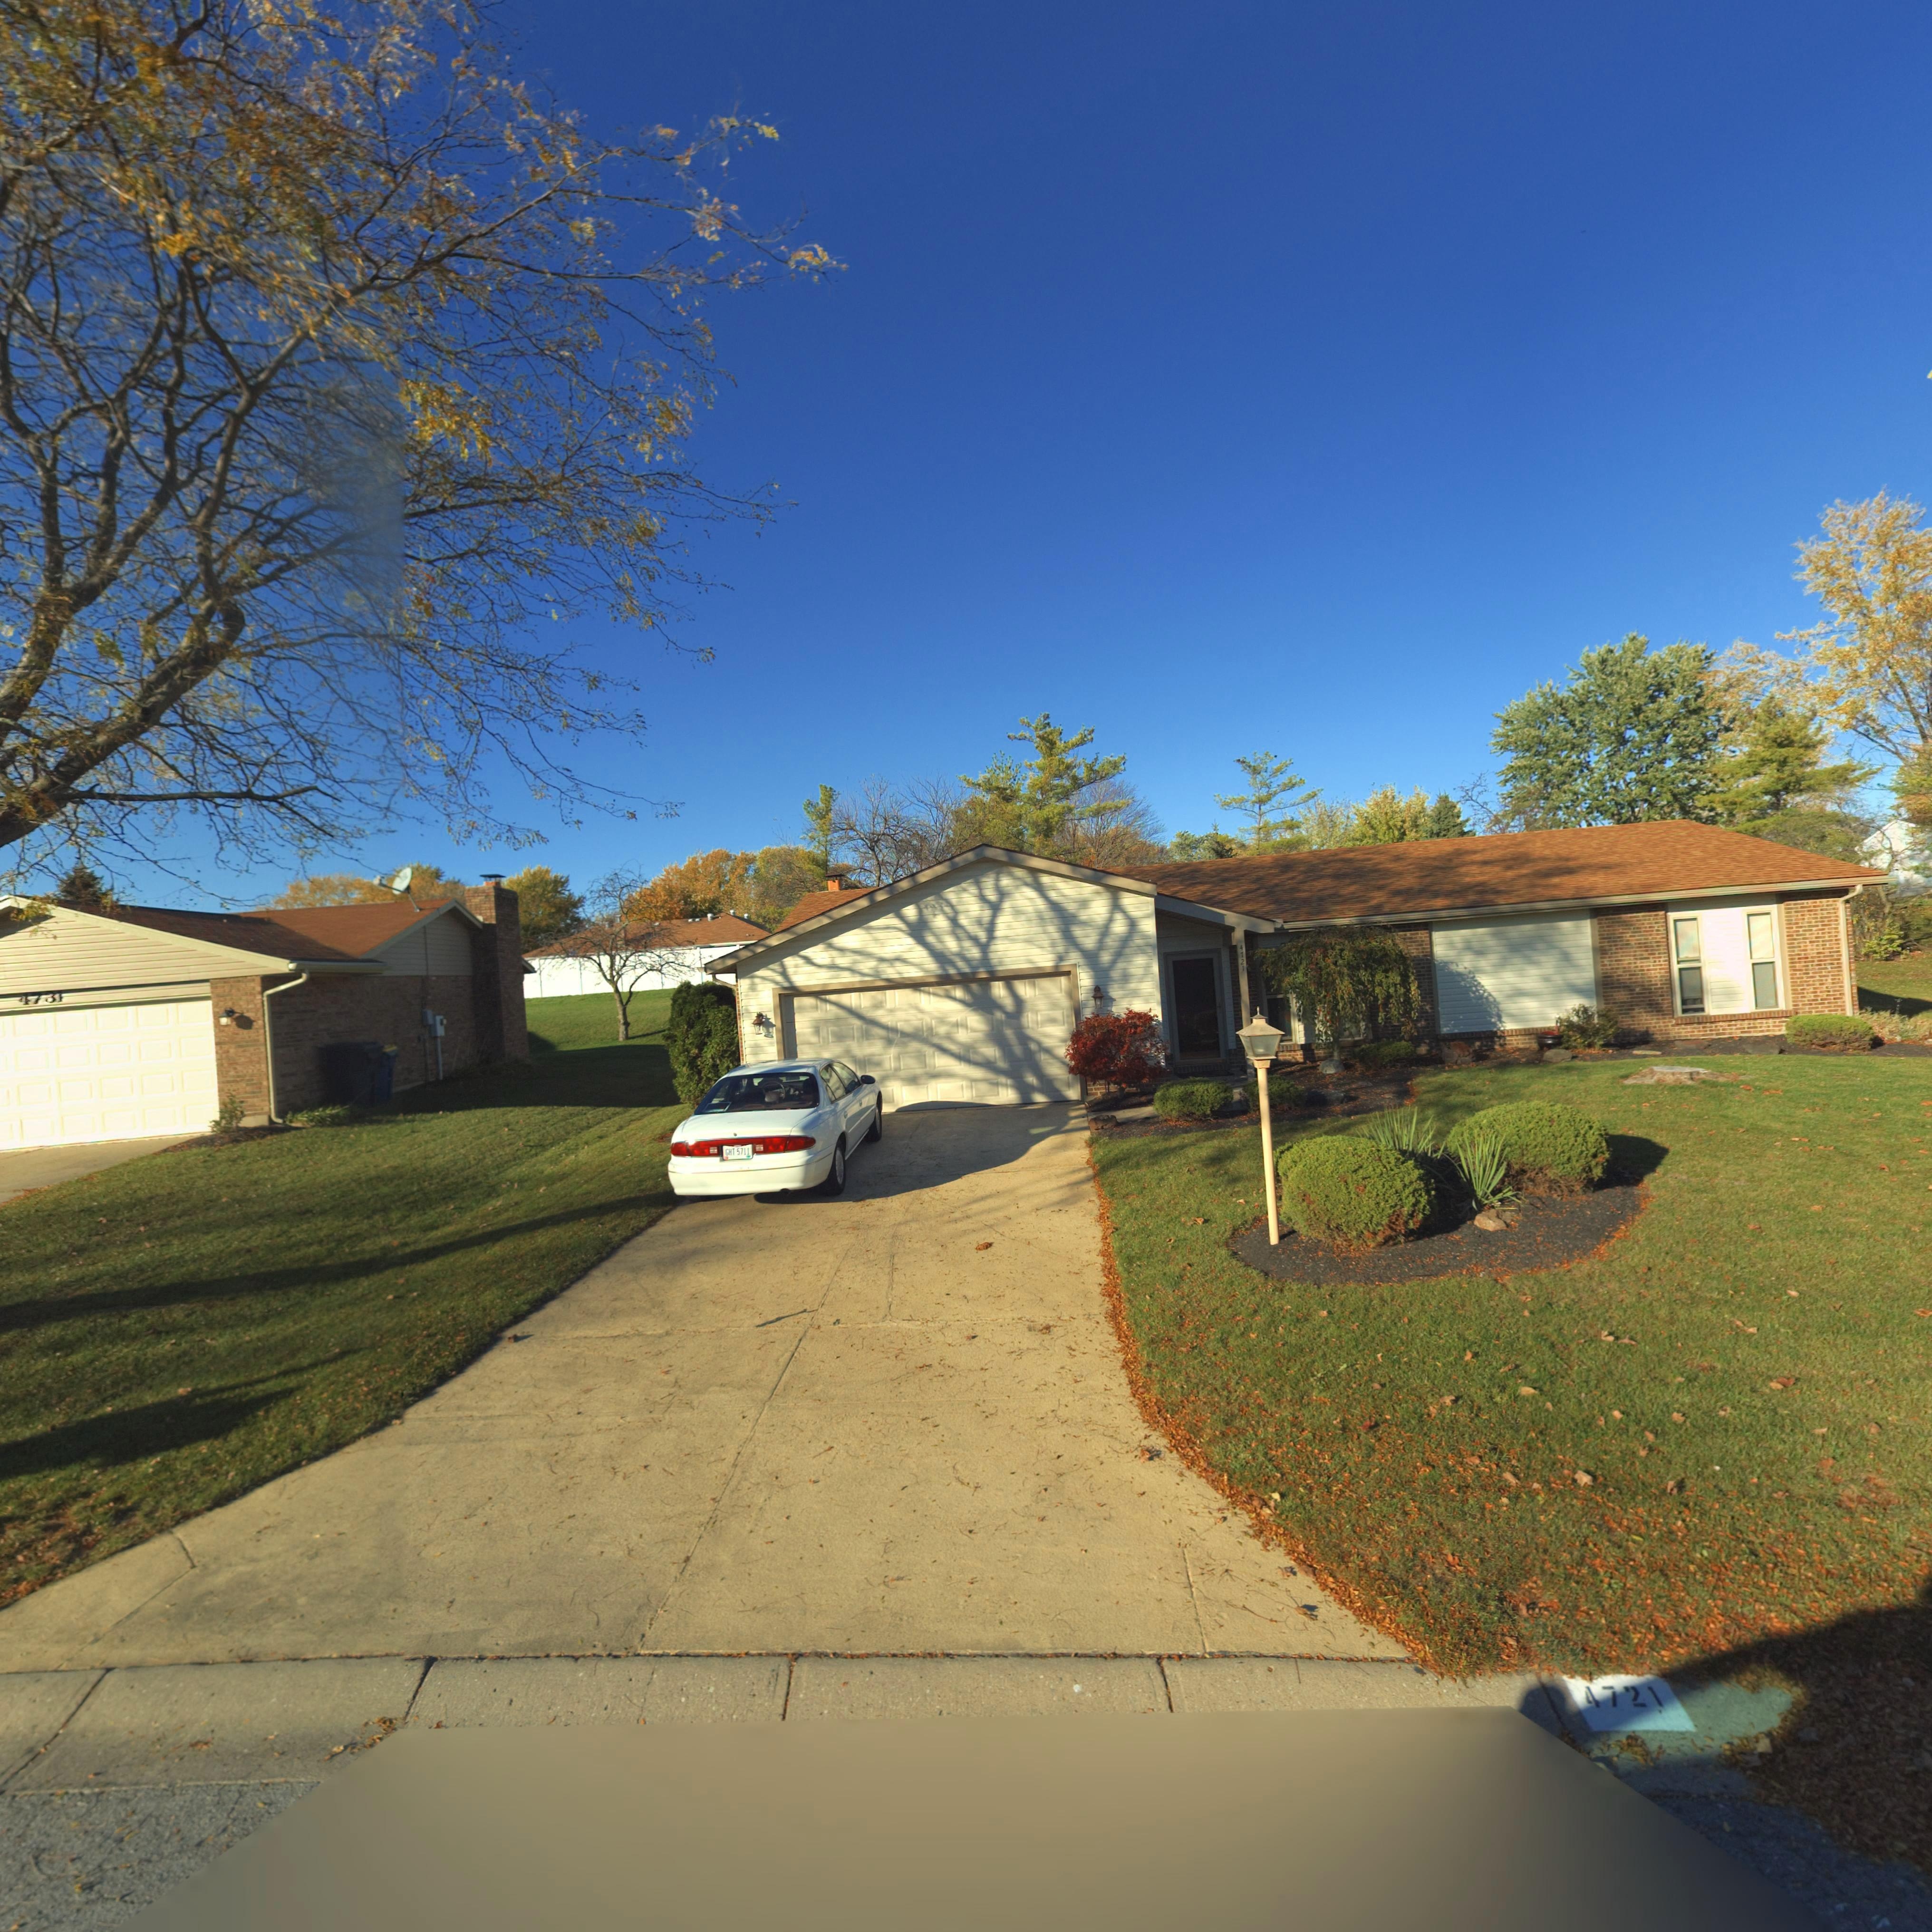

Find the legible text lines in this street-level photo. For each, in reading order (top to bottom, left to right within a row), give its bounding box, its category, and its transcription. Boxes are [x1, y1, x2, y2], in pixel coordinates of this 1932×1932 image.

[1239, 943, 1246, 973] StreetNumber: 4721
[18, 990, 64, 1006] StreetNumber: 4731
[1580, 1682, 1669, 1713] StreetNumber: 4721